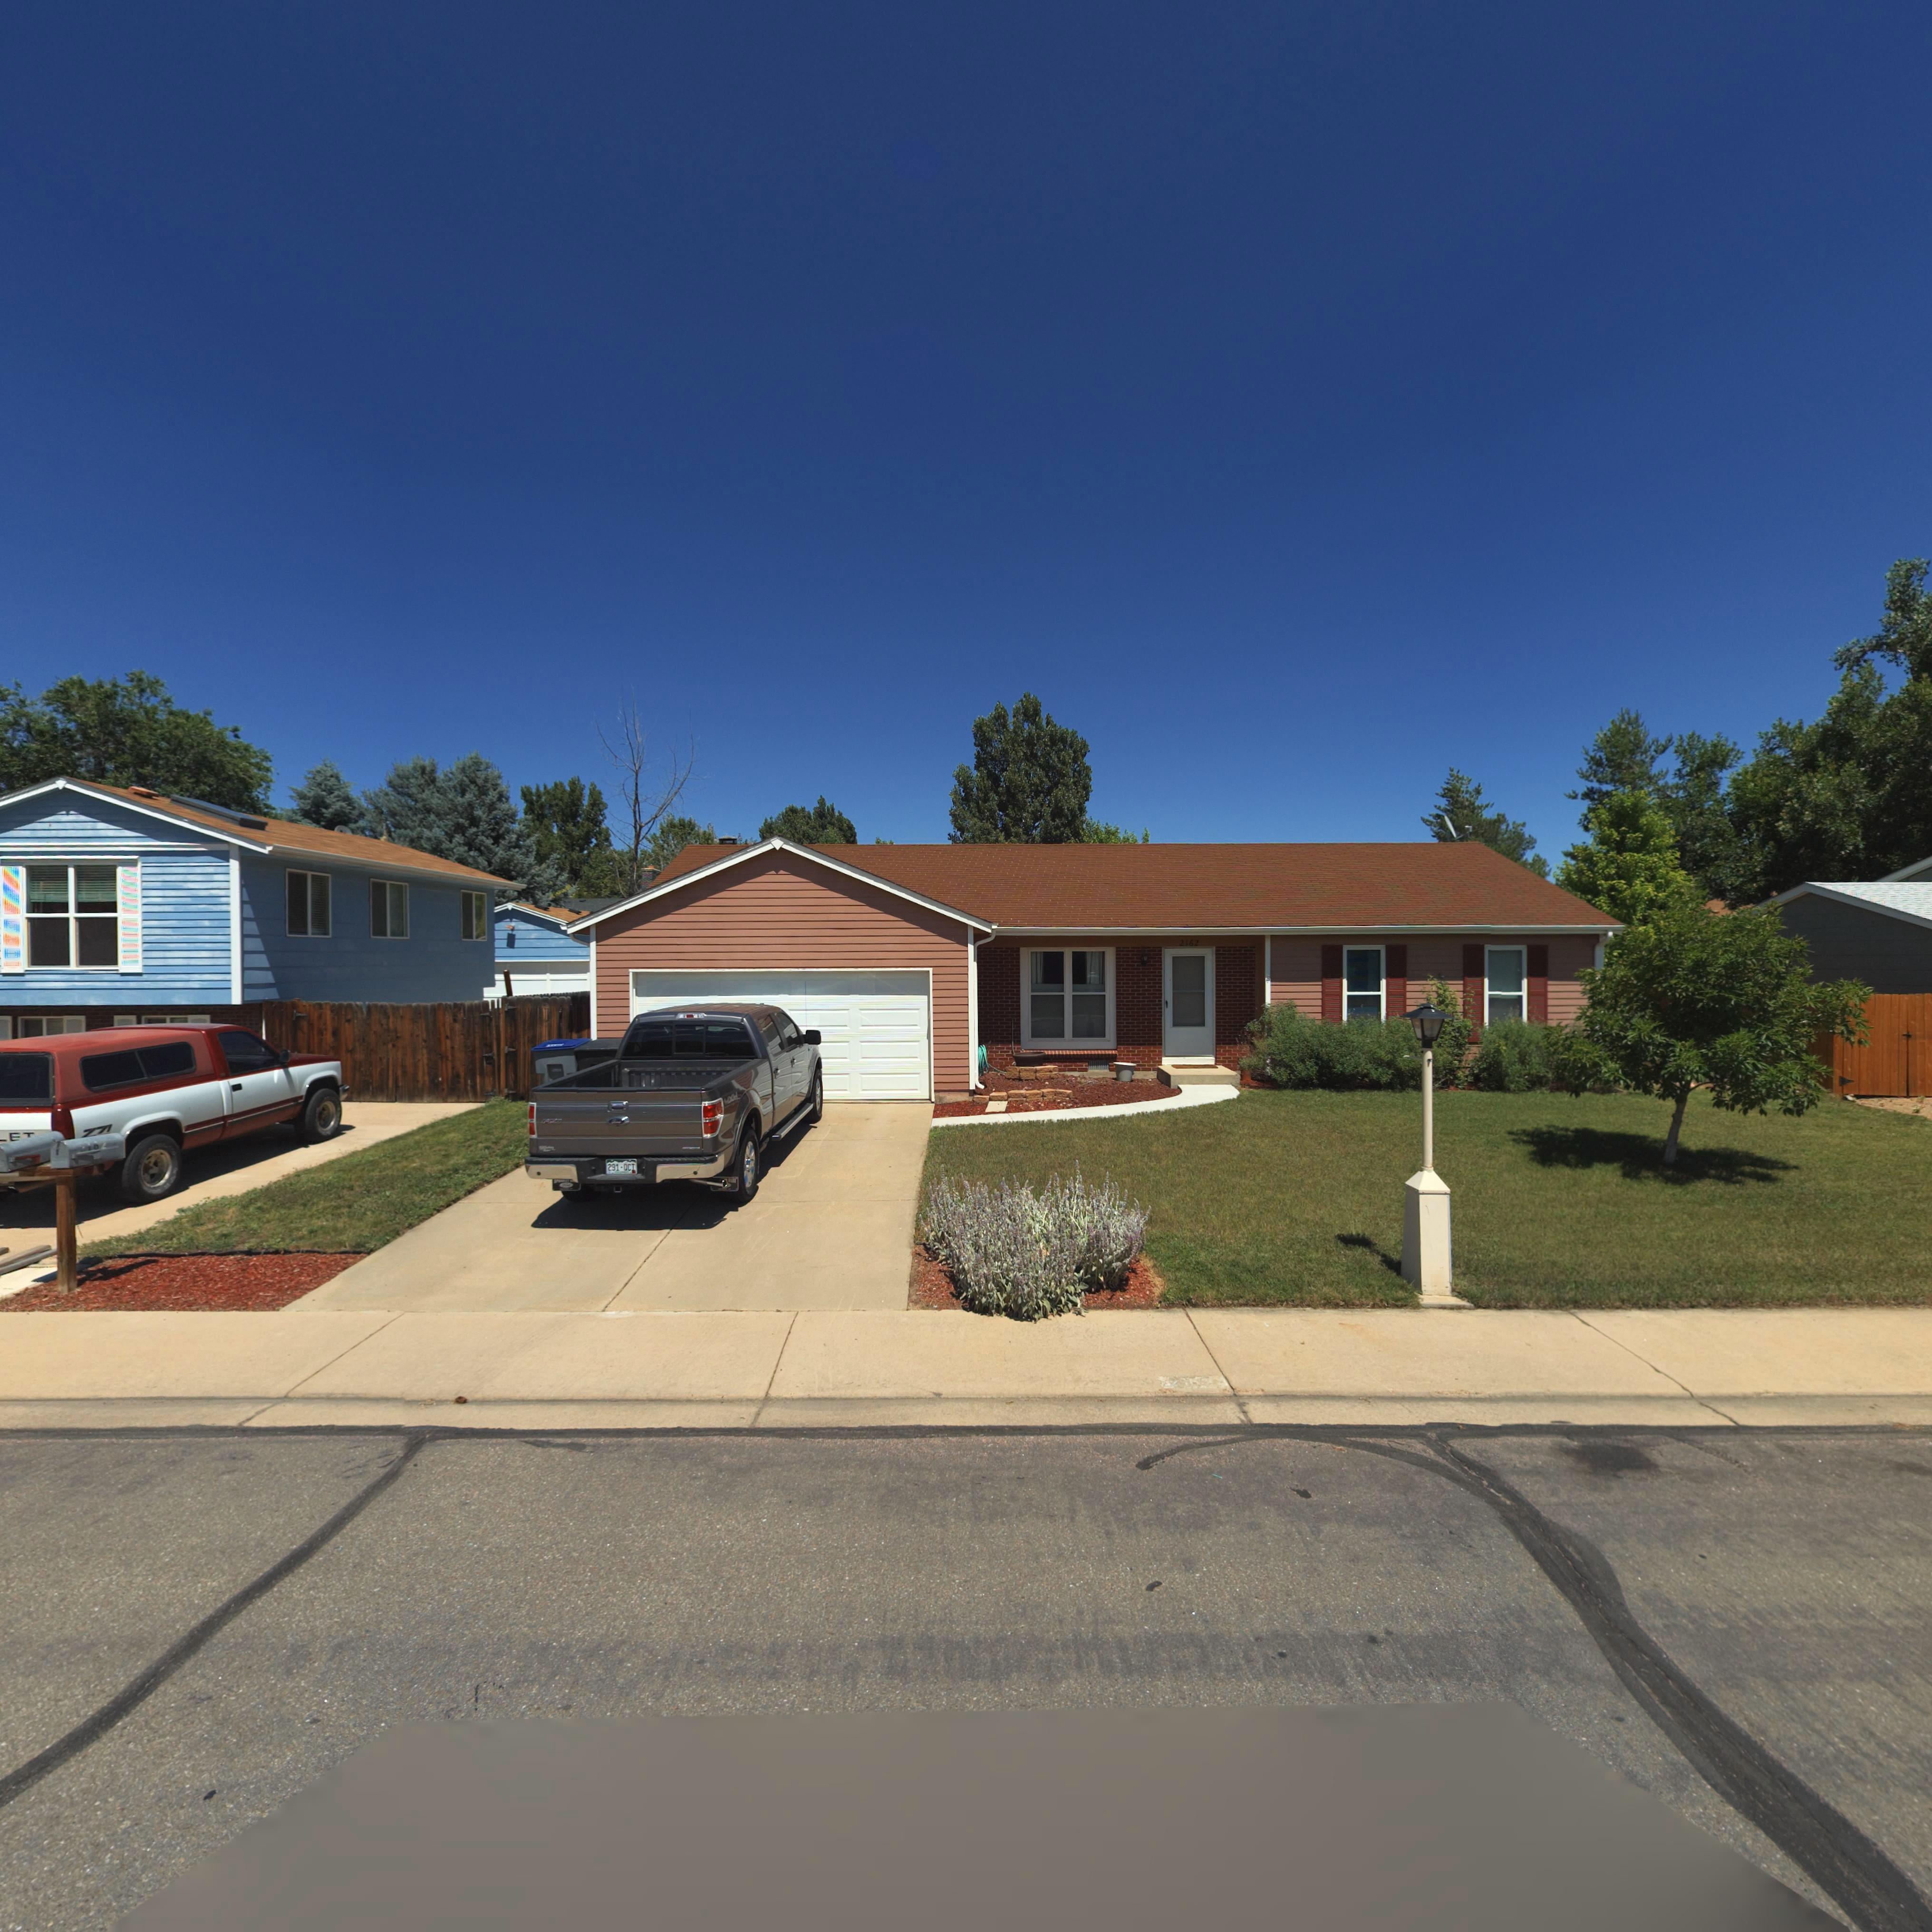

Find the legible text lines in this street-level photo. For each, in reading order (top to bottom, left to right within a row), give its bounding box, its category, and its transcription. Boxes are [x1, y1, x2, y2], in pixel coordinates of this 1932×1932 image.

[1179, 939, 1199, 947] StreetNumber: 2162